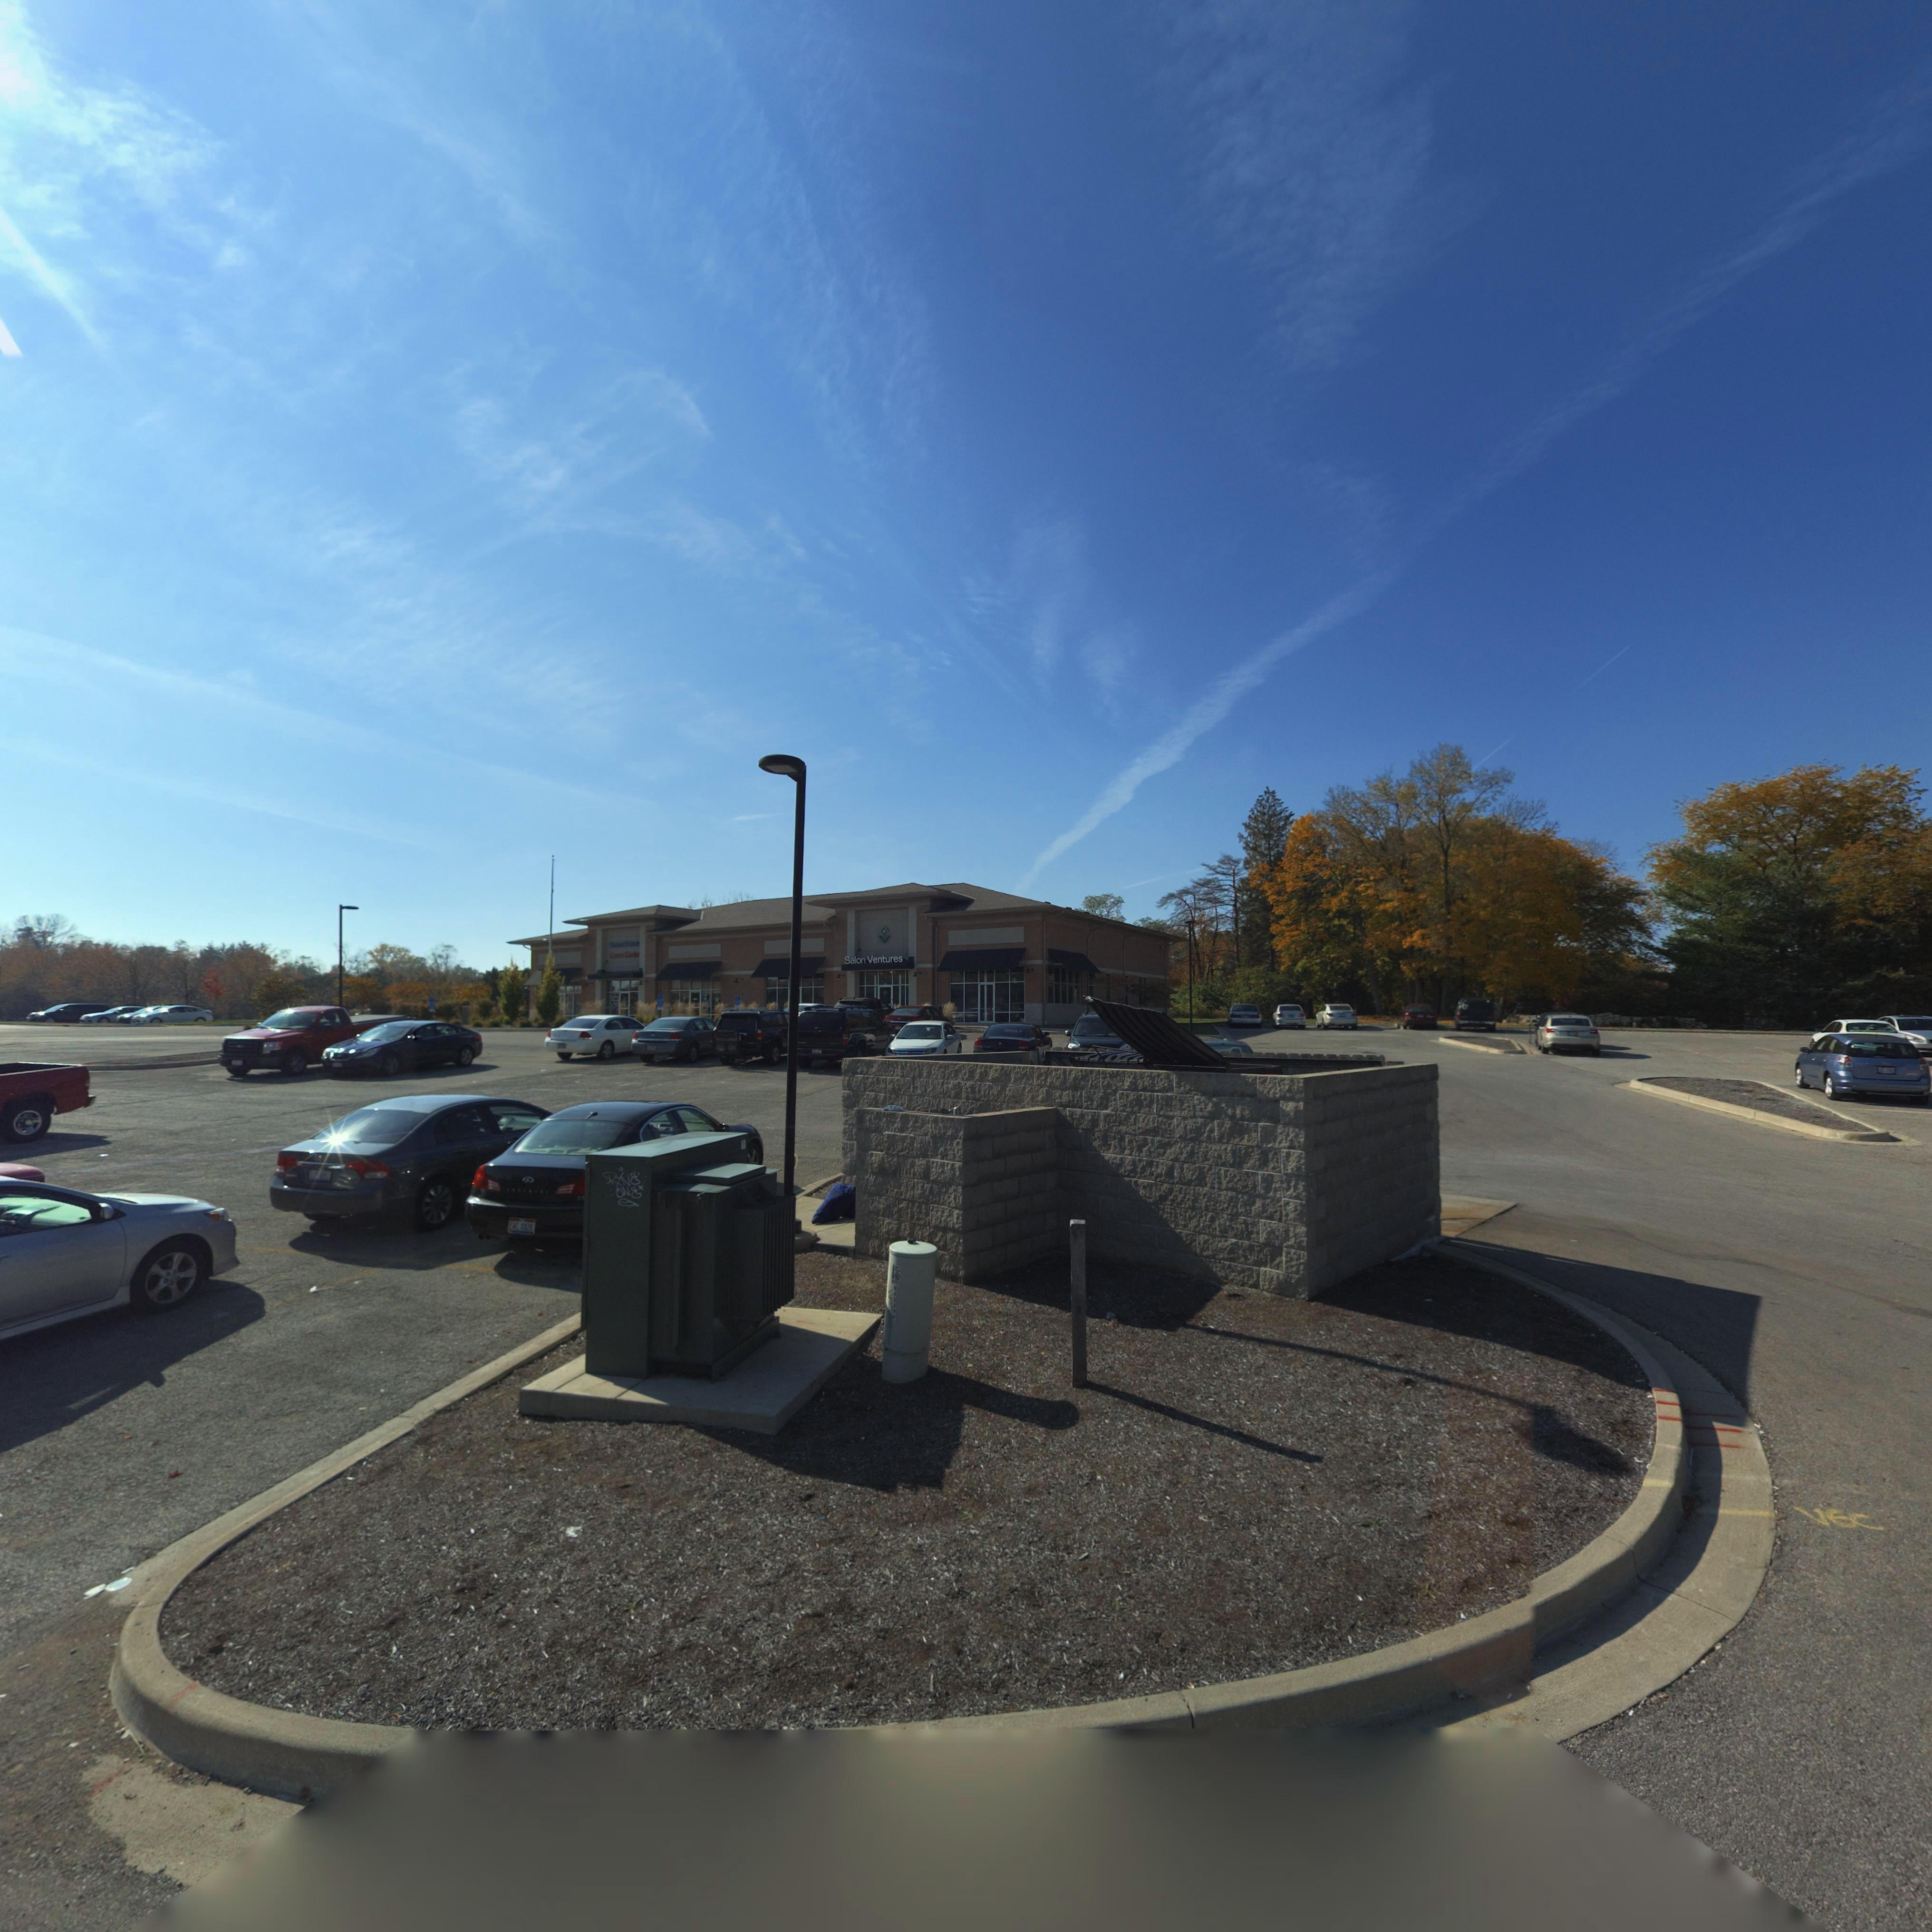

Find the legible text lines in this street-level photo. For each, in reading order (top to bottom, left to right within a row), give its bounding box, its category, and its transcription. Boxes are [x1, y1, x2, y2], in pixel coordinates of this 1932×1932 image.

[843, 954, 905, 966] BusinessName: Salon Ventures